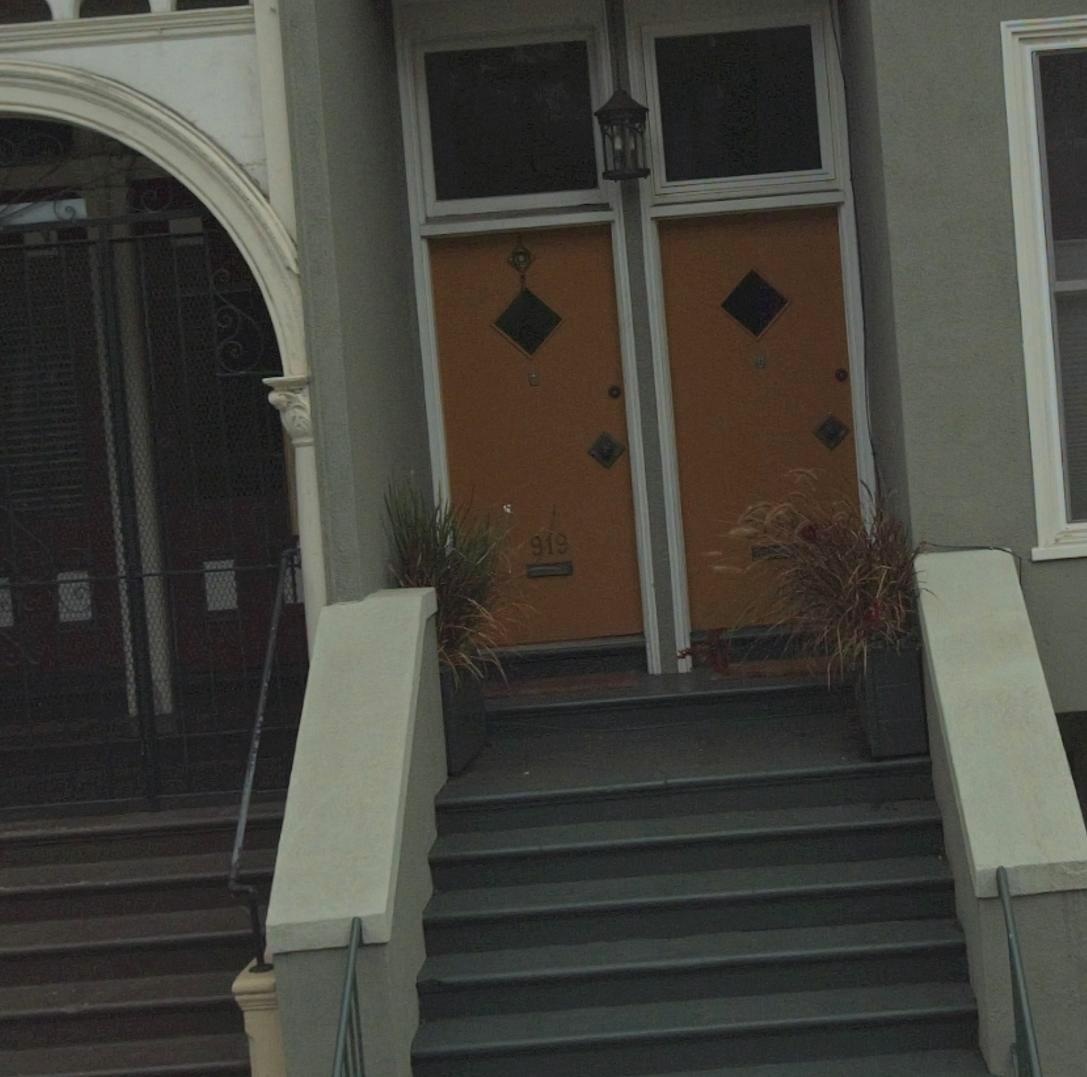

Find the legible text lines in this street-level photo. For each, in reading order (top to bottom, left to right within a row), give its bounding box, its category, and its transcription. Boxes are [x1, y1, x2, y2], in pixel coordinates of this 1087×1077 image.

[528, 532, 570, 559] StreetNumber: 919